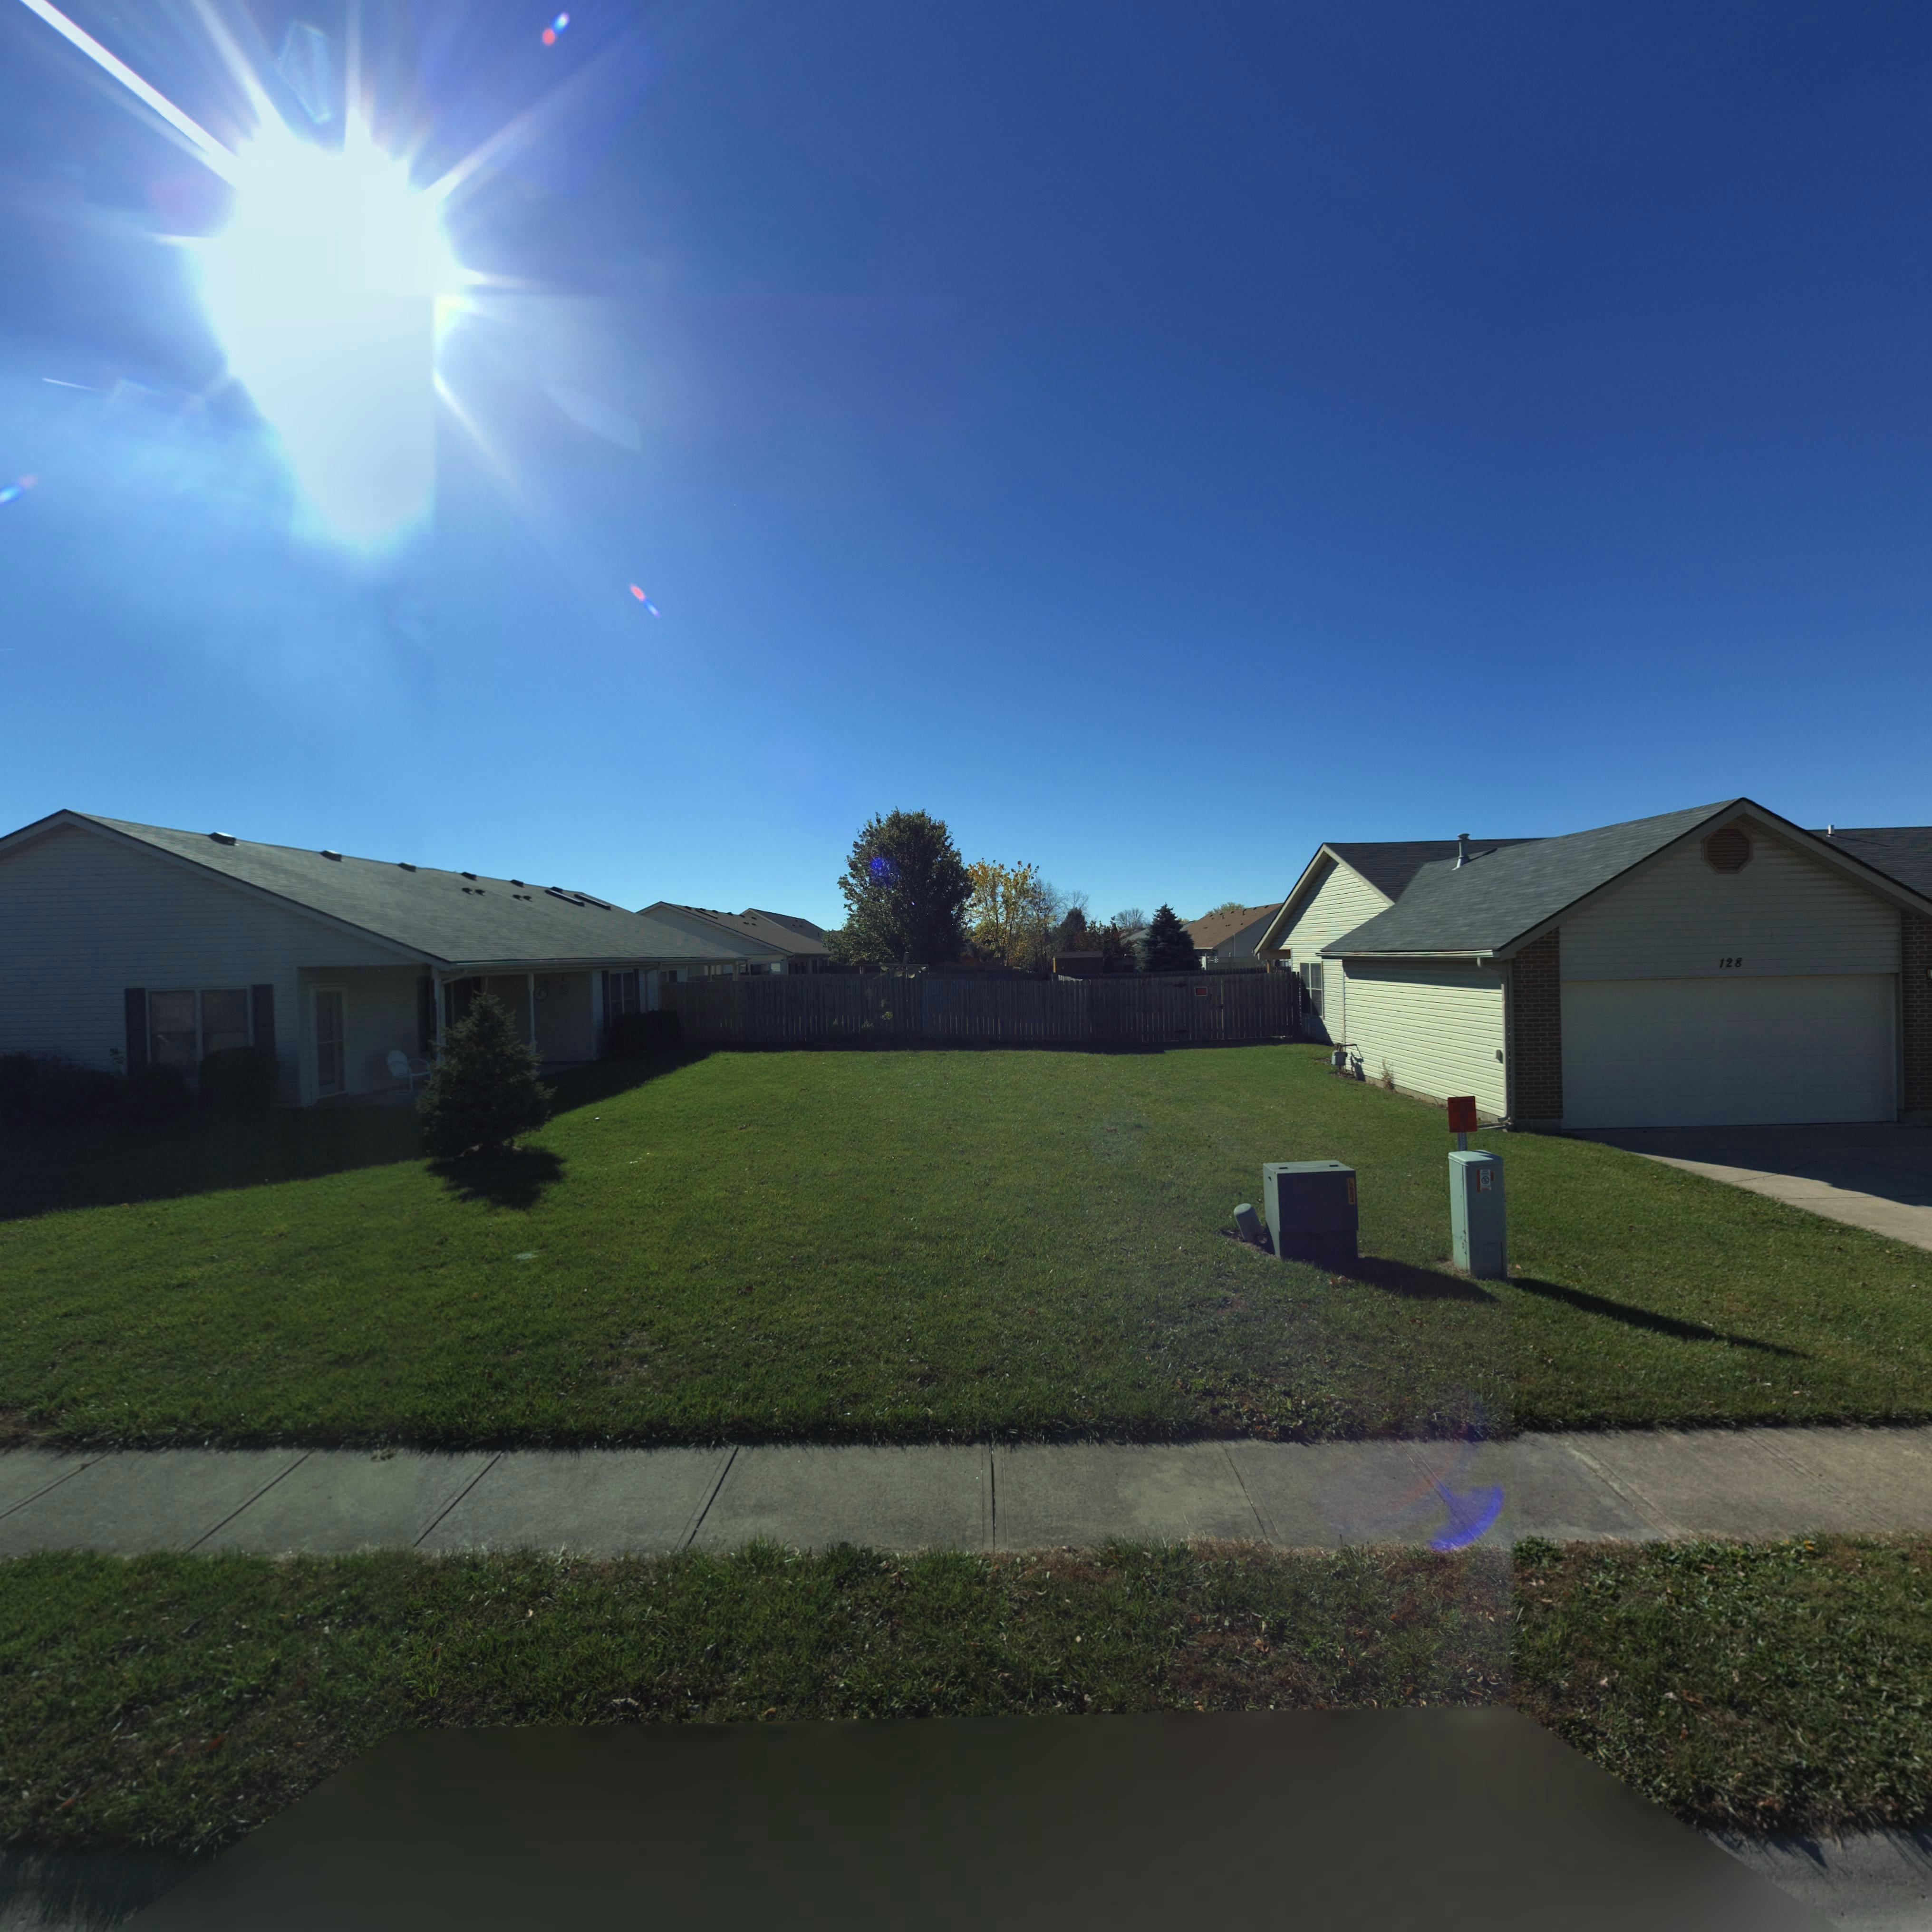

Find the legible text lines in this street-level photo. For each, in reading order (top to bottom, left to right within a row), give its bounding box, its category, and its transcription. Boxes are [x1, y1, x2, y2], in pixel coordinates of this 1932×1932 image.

[1719, 957, 1743, 968] StreetNumber: 128